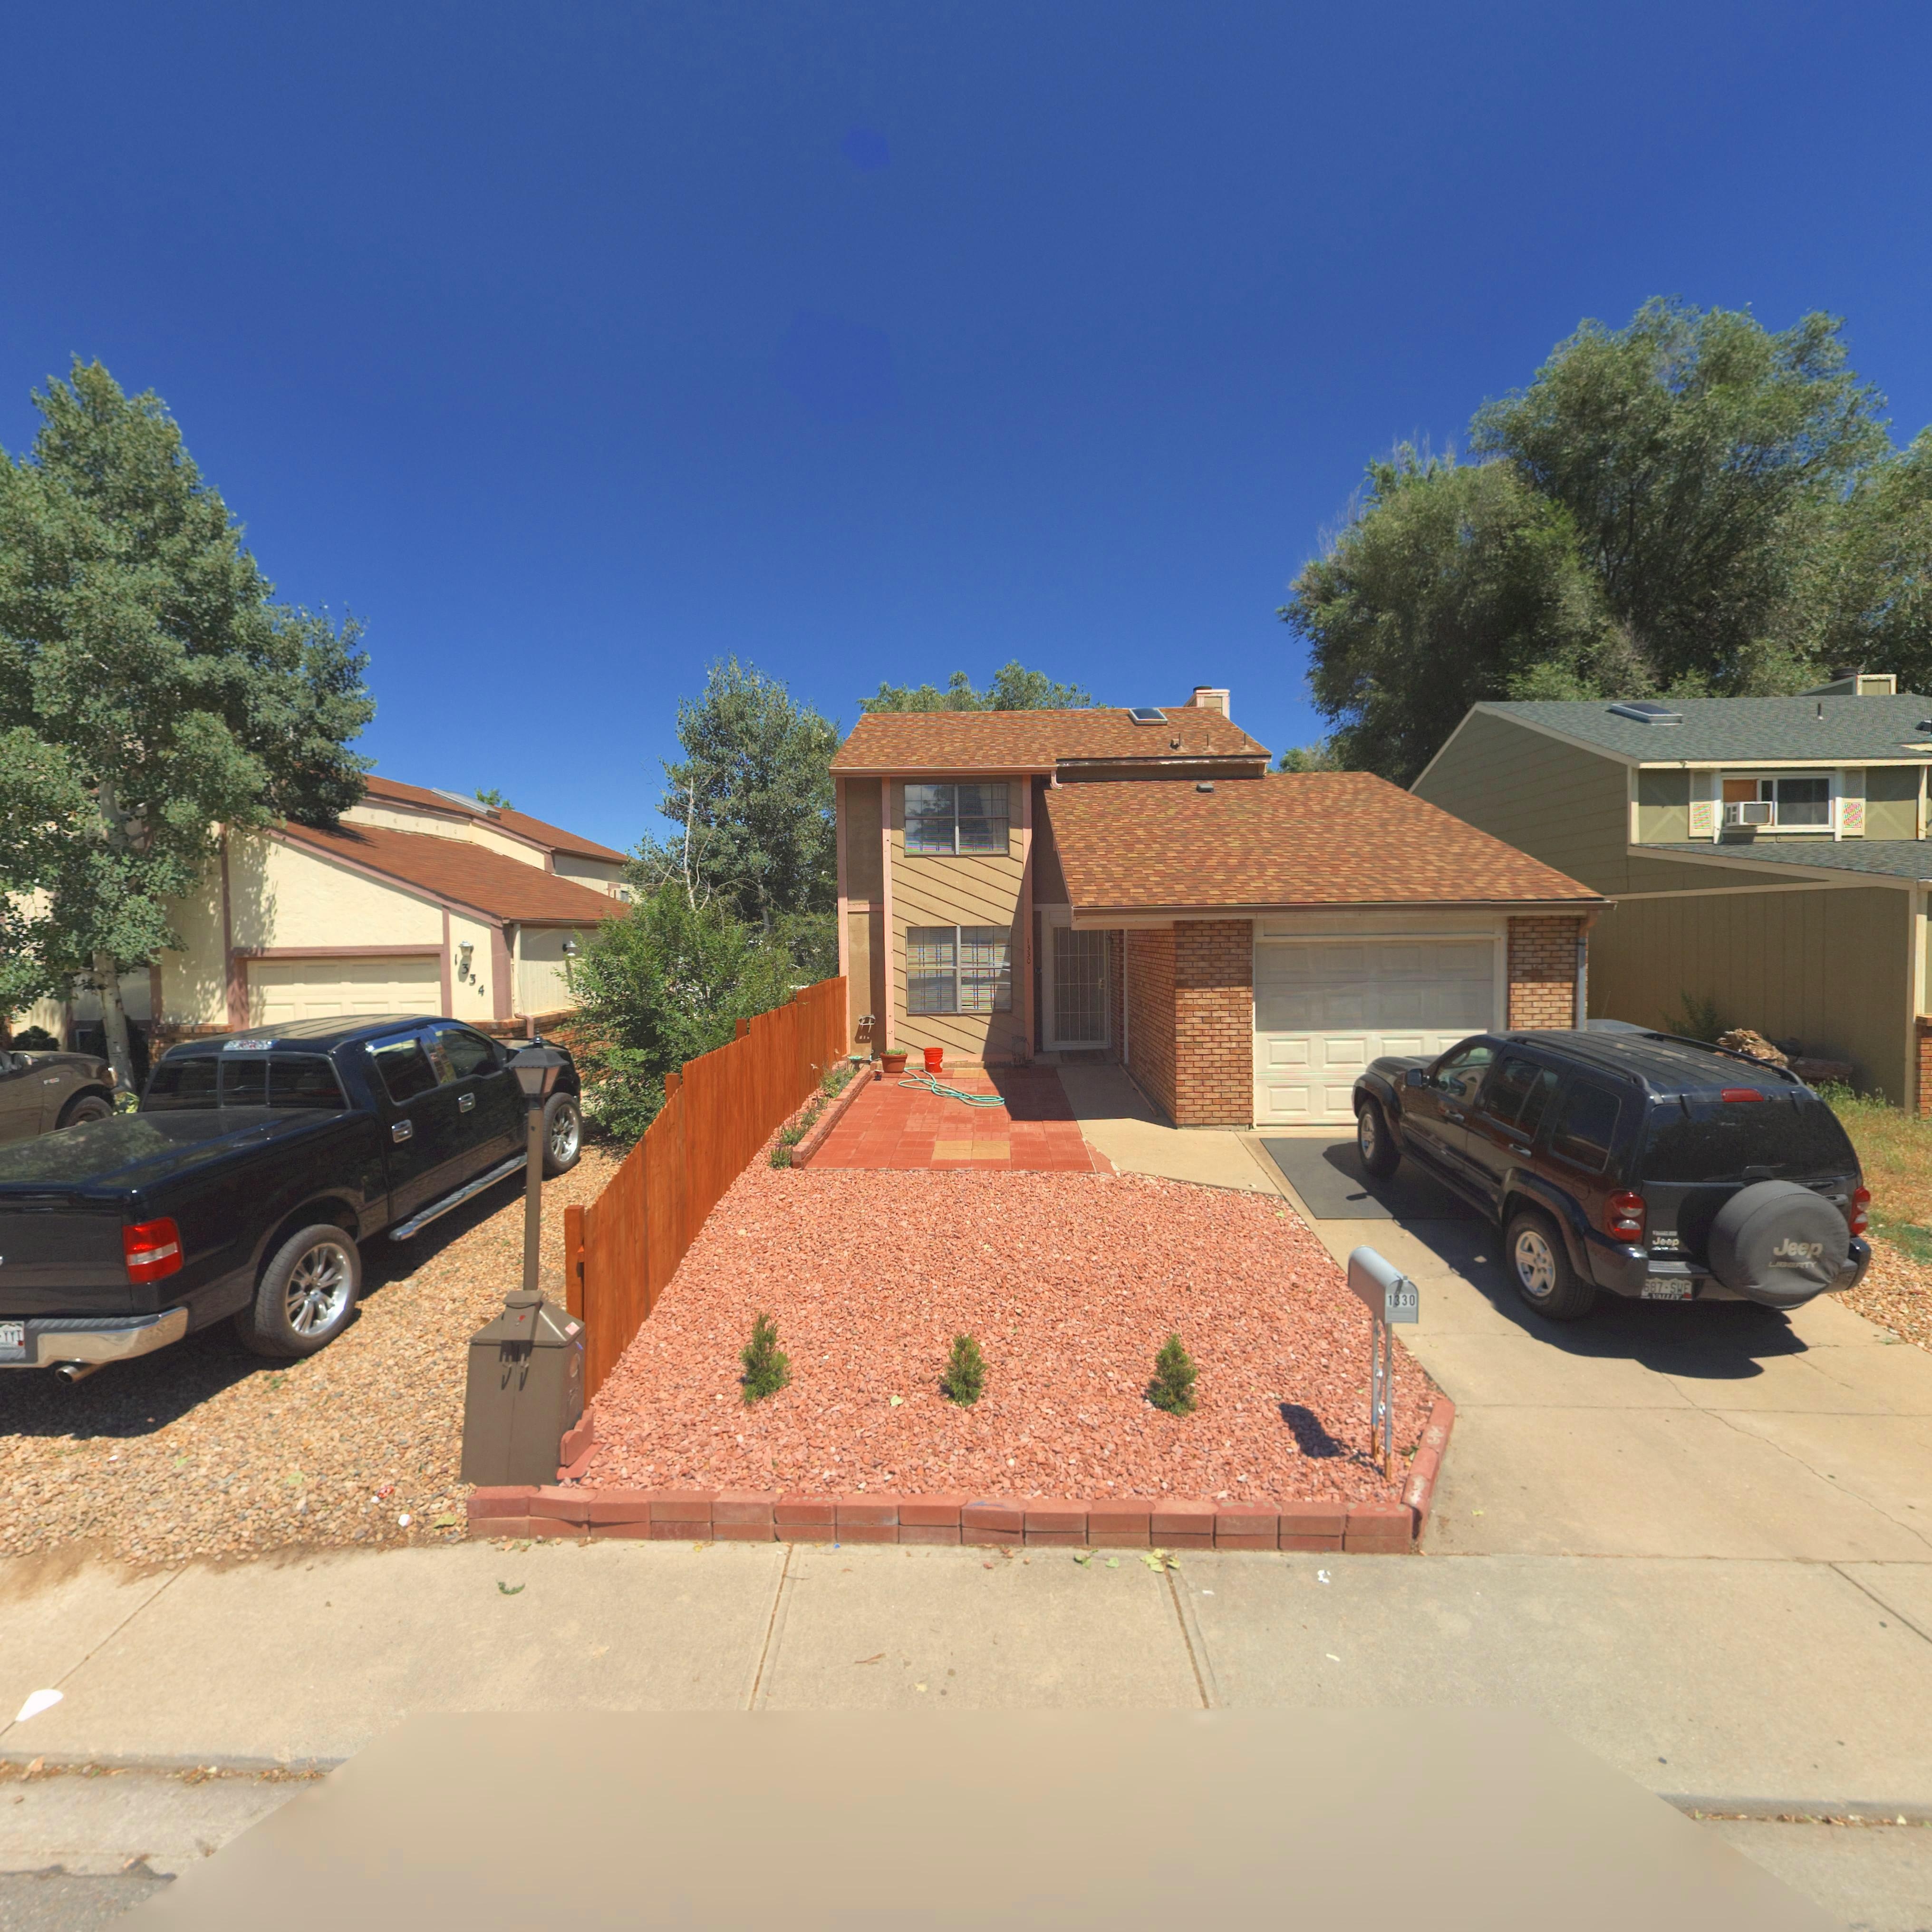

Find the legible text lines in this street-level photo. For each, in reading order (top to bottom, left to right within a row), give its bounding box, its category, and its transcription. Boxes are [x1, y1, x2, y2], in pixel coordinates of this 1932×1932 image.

[1026, 937, 1031, 964] StreetNumber: 1330
[454, 953, 485, 997] StreetNumber: 1334
[1388, 1294, 1415, 1306] BusinessName: 1330